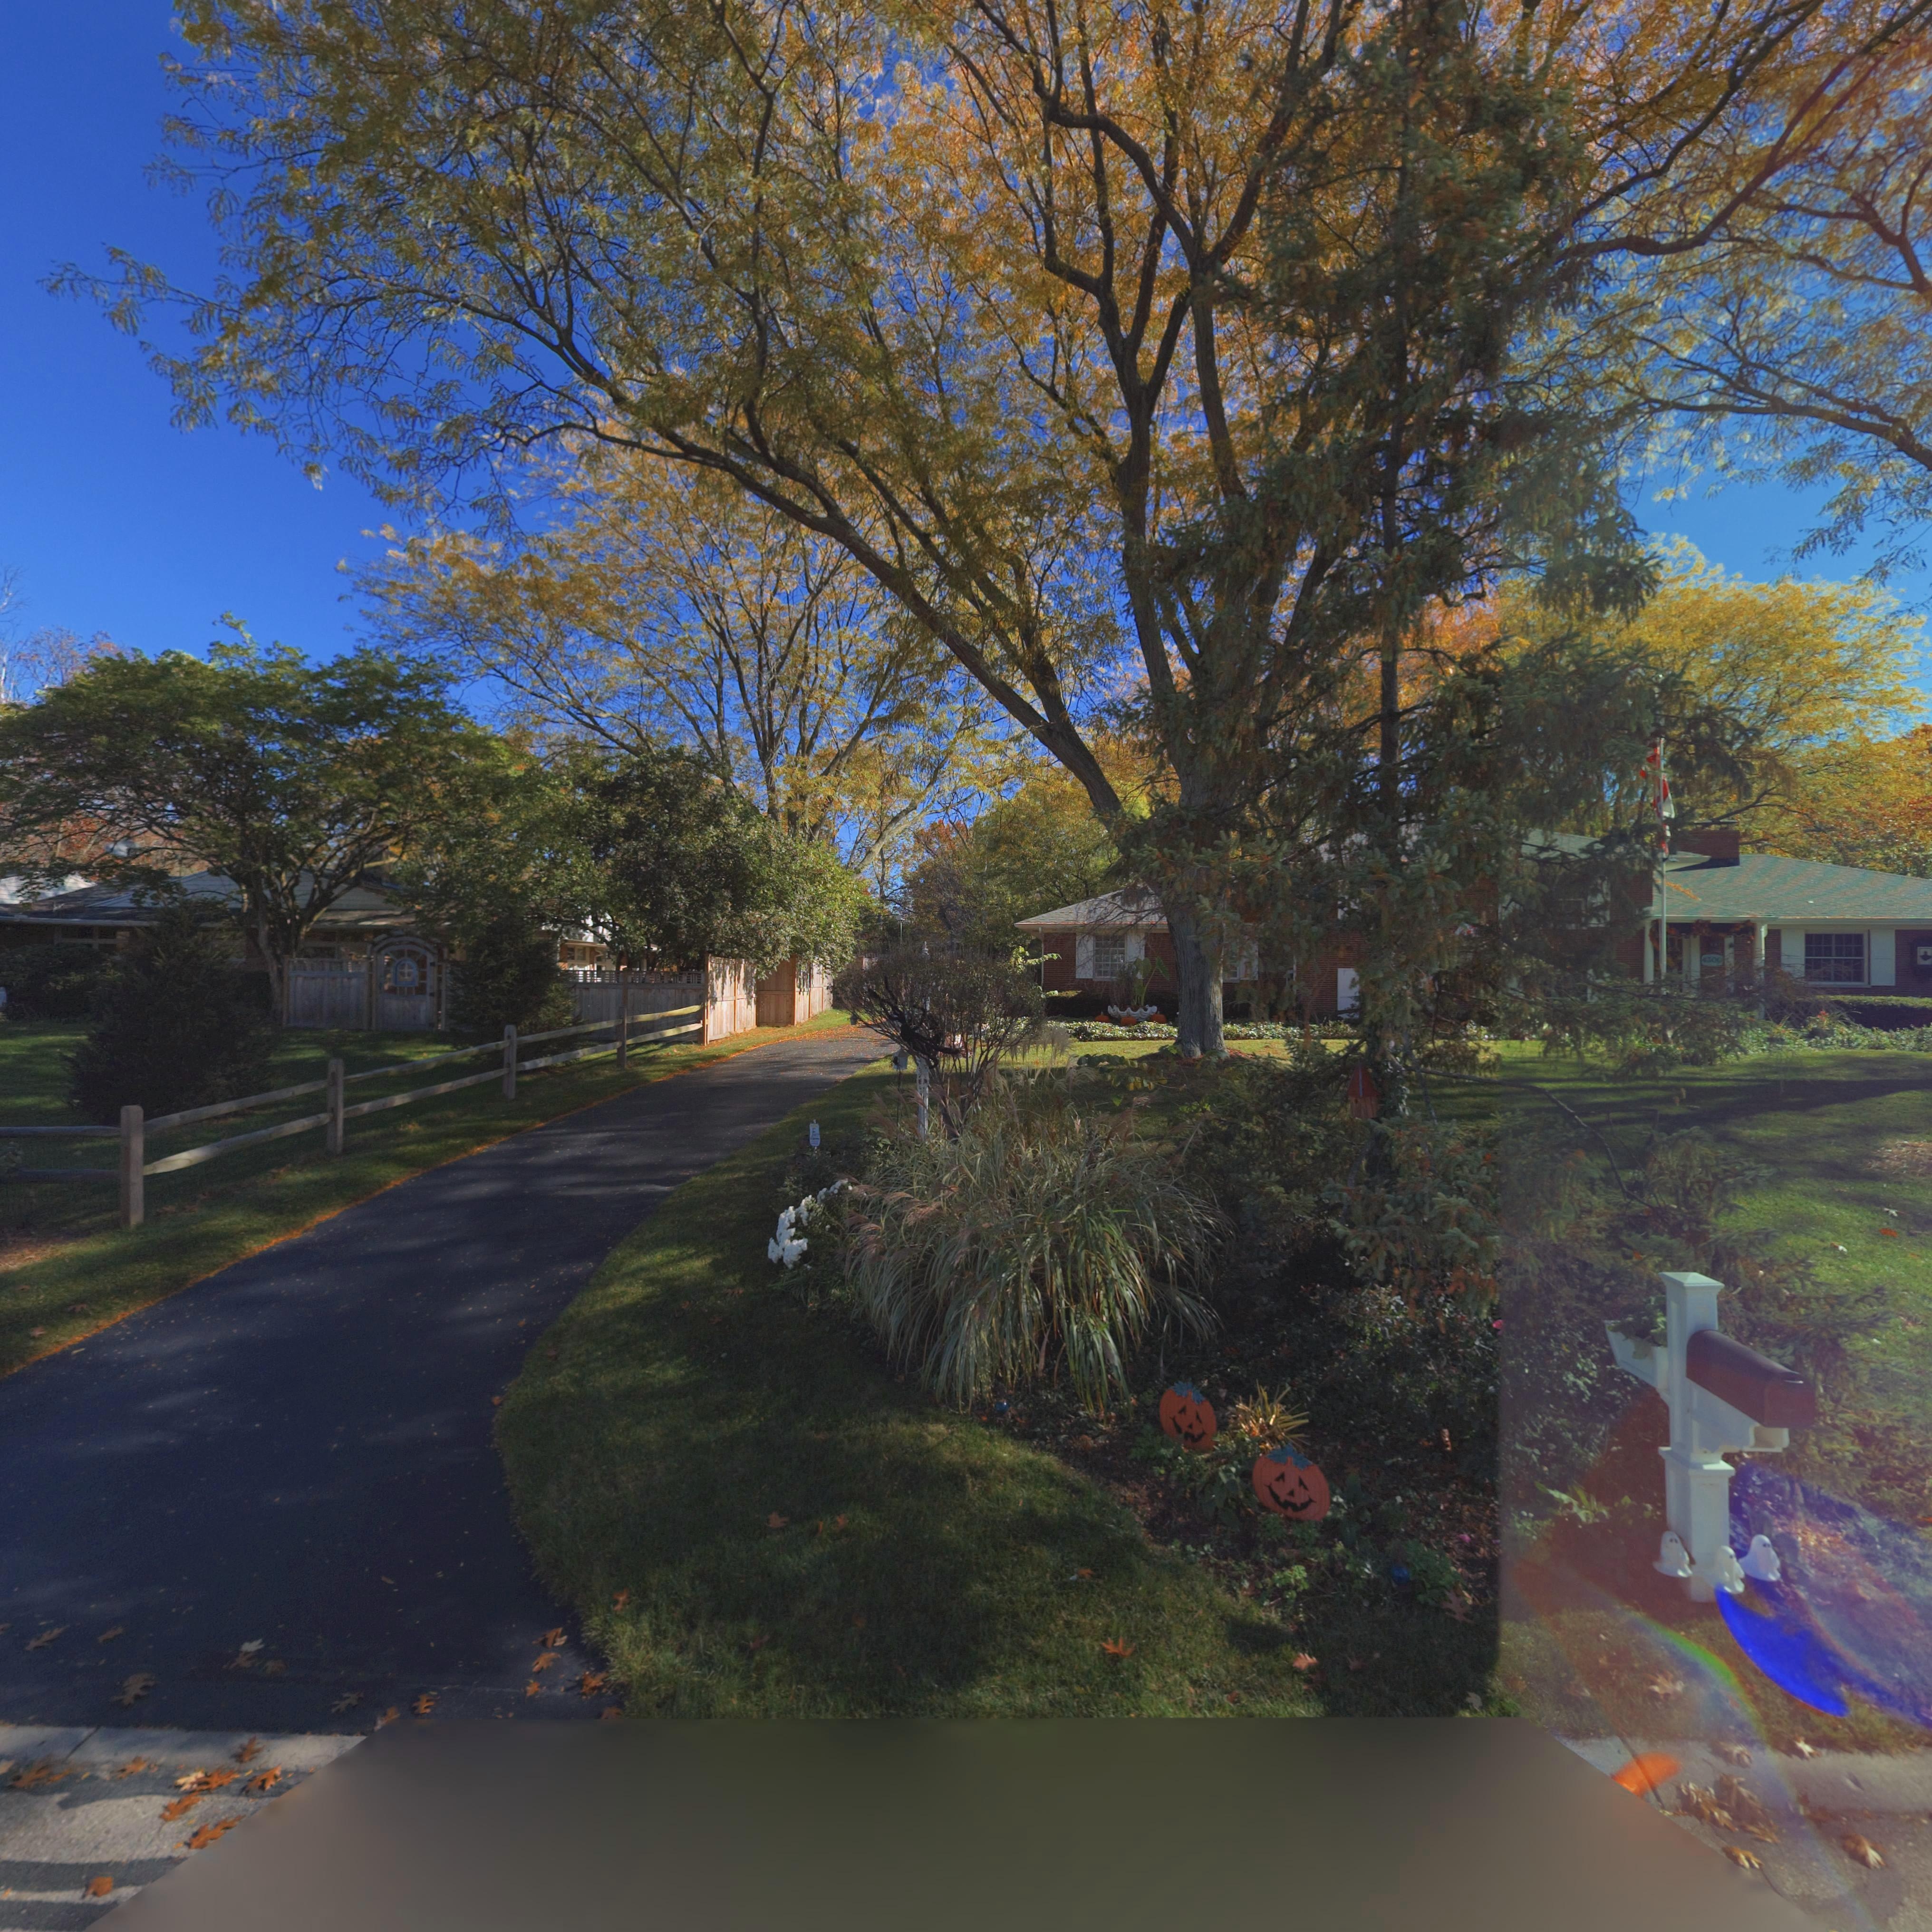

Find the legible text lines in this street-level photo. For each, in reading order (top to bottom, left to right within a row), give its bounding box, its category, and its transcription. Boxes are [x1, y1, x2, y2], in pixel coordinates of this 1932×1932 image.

[1701, 956, 1722, 964] StreetNumber: 4300